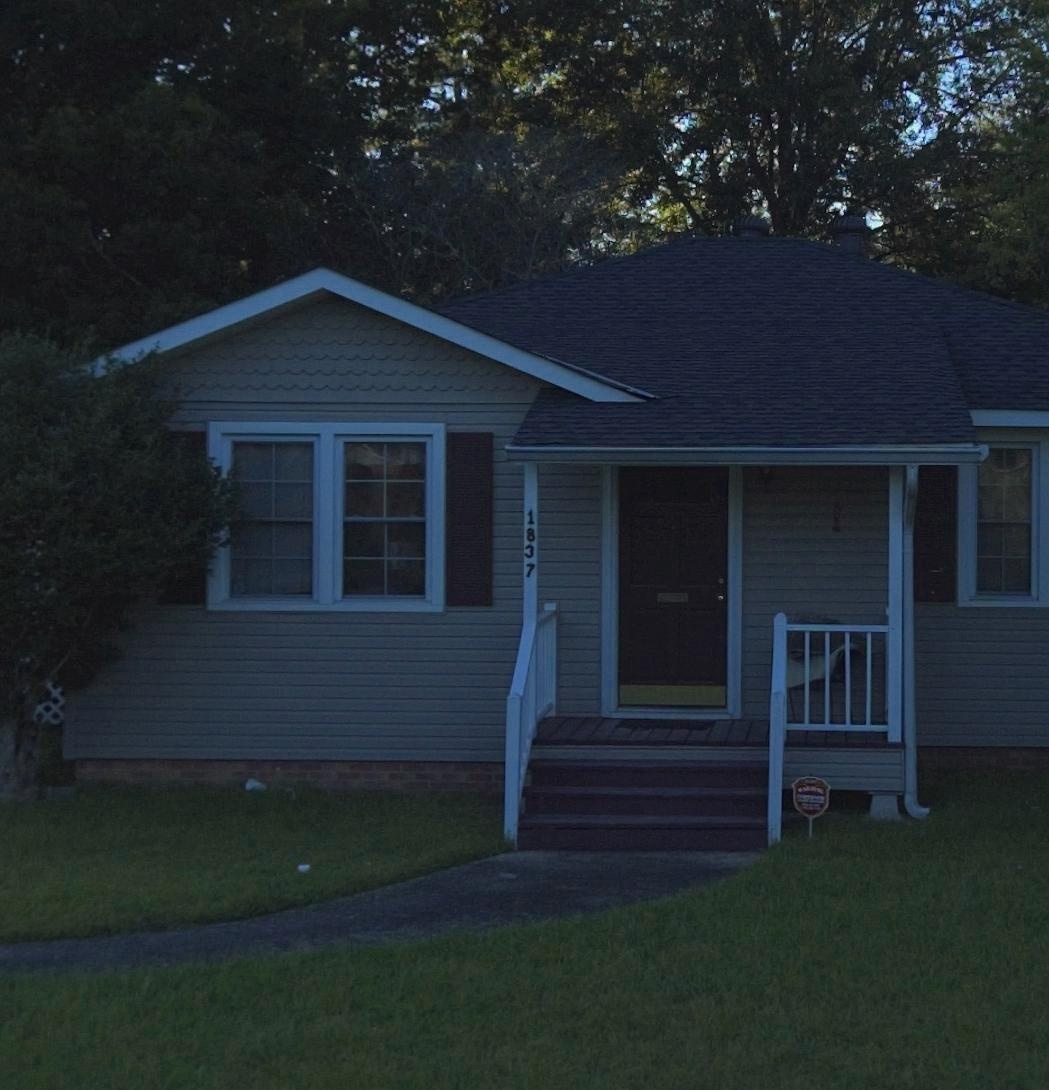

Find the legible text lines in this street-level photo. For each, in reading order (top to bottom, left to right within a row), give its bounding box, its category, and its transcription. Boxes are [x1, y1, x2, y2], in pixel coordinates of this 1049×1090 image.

[522, 507, 538, 579] StreetNumber: 1837